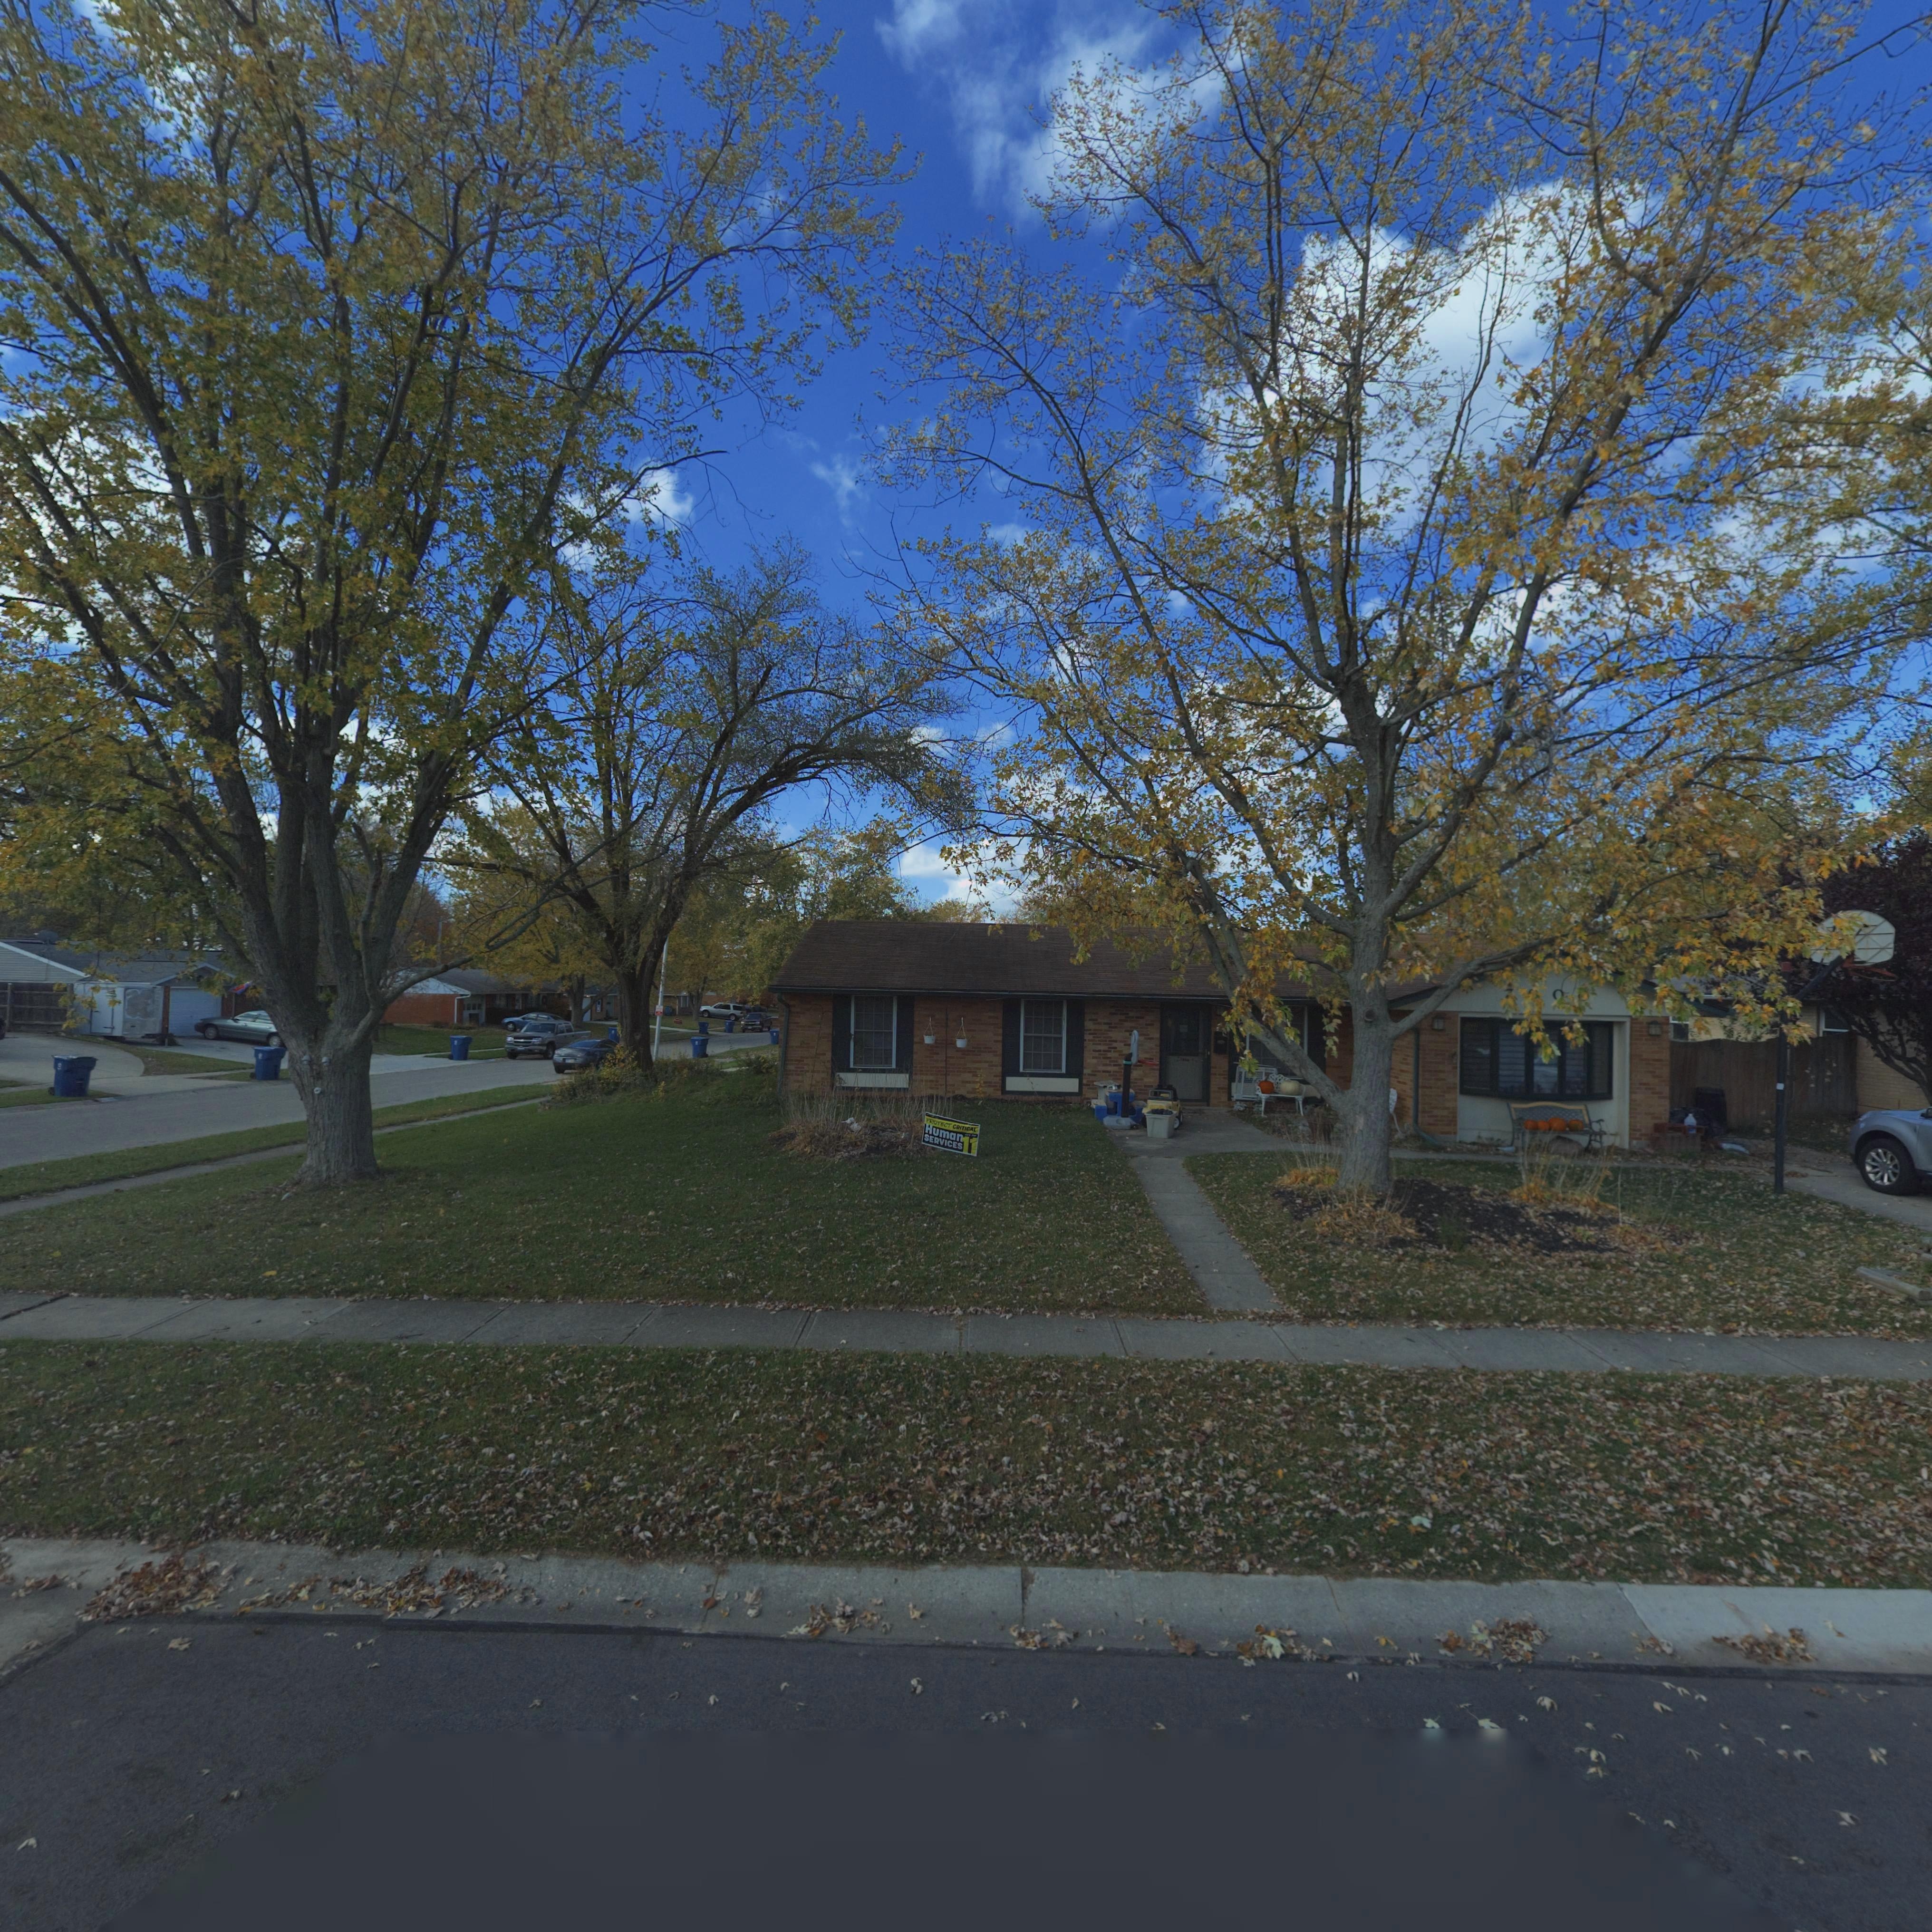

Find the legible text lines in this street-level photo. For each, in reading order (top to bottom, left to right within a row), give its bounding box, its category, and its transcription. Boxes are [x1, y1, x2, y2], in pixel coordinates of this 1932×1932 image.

[1503, 987, 1515, 1000] StreetNumber: 7